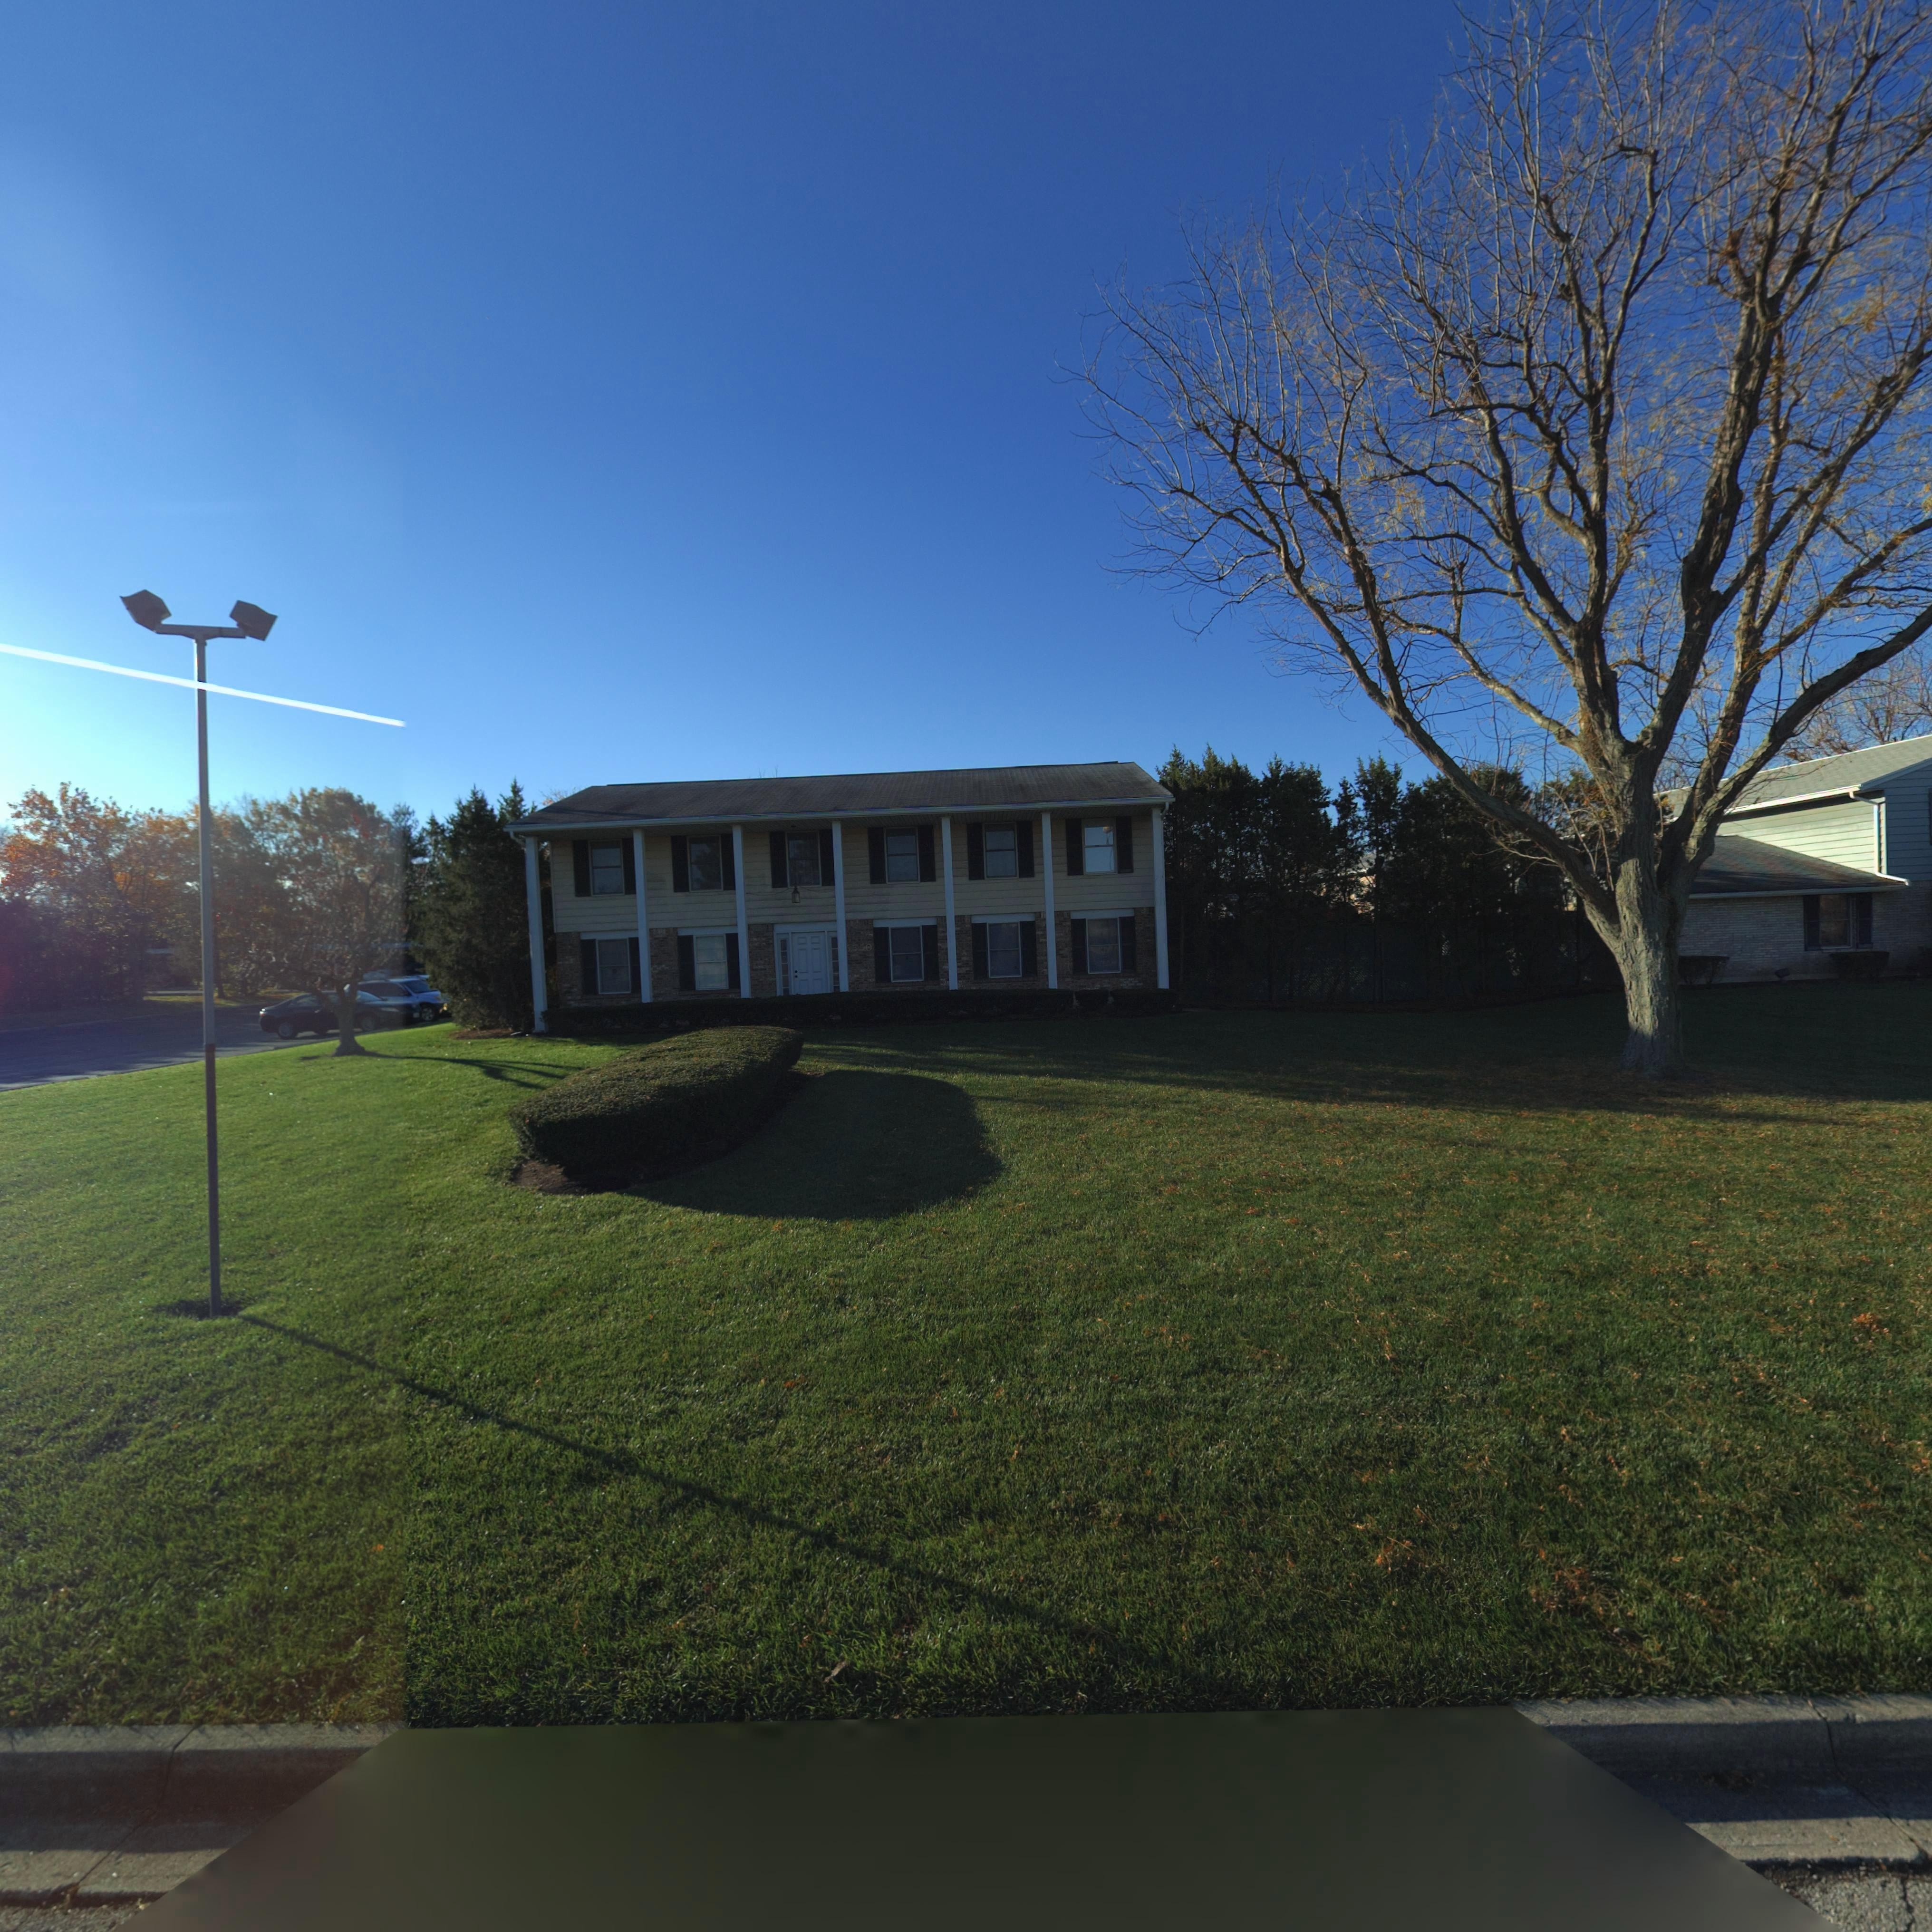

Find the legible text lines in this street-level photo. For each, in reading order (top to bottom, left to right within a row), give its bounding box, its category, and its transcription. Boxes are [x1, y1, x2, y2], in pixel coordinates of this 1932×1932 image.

[851, 943, 872, 952] StreetNumber: 550